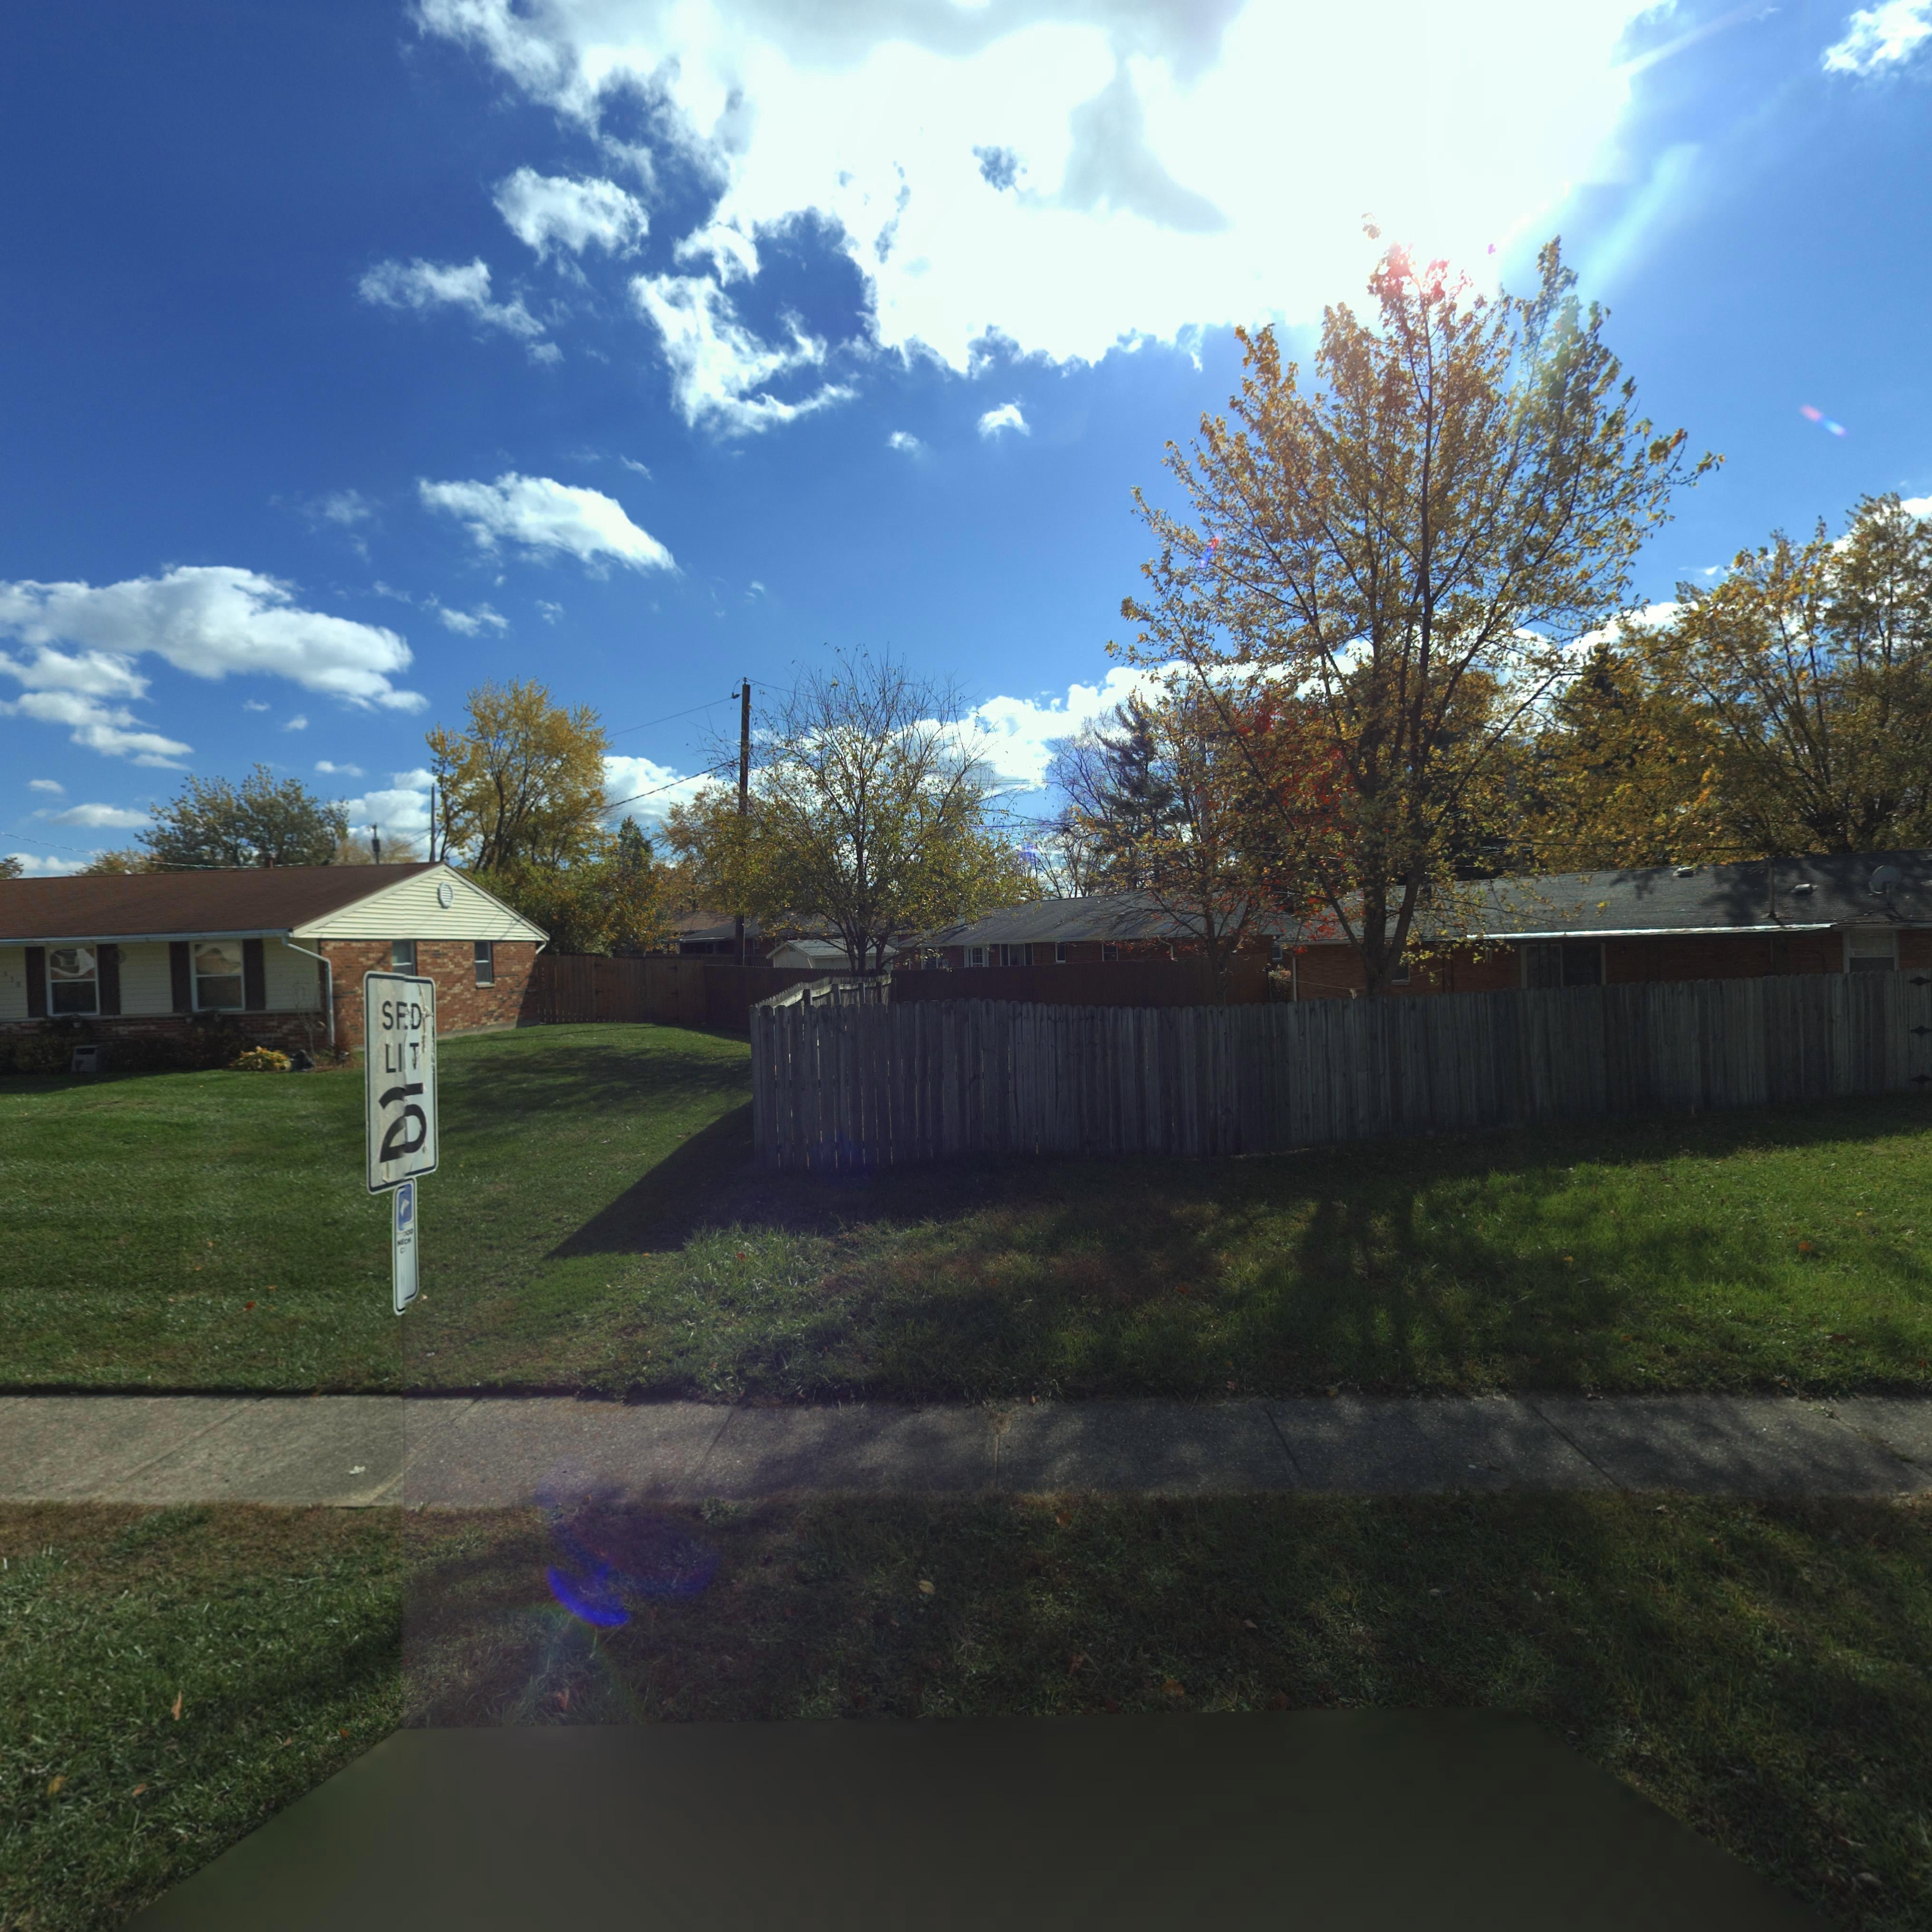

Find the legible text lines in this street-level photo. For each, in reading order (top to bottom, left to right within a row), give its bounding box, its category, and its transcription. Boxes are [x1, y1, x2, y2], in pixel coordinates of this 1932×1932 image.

[2, 969, 21, 988] StreetNumber: 550